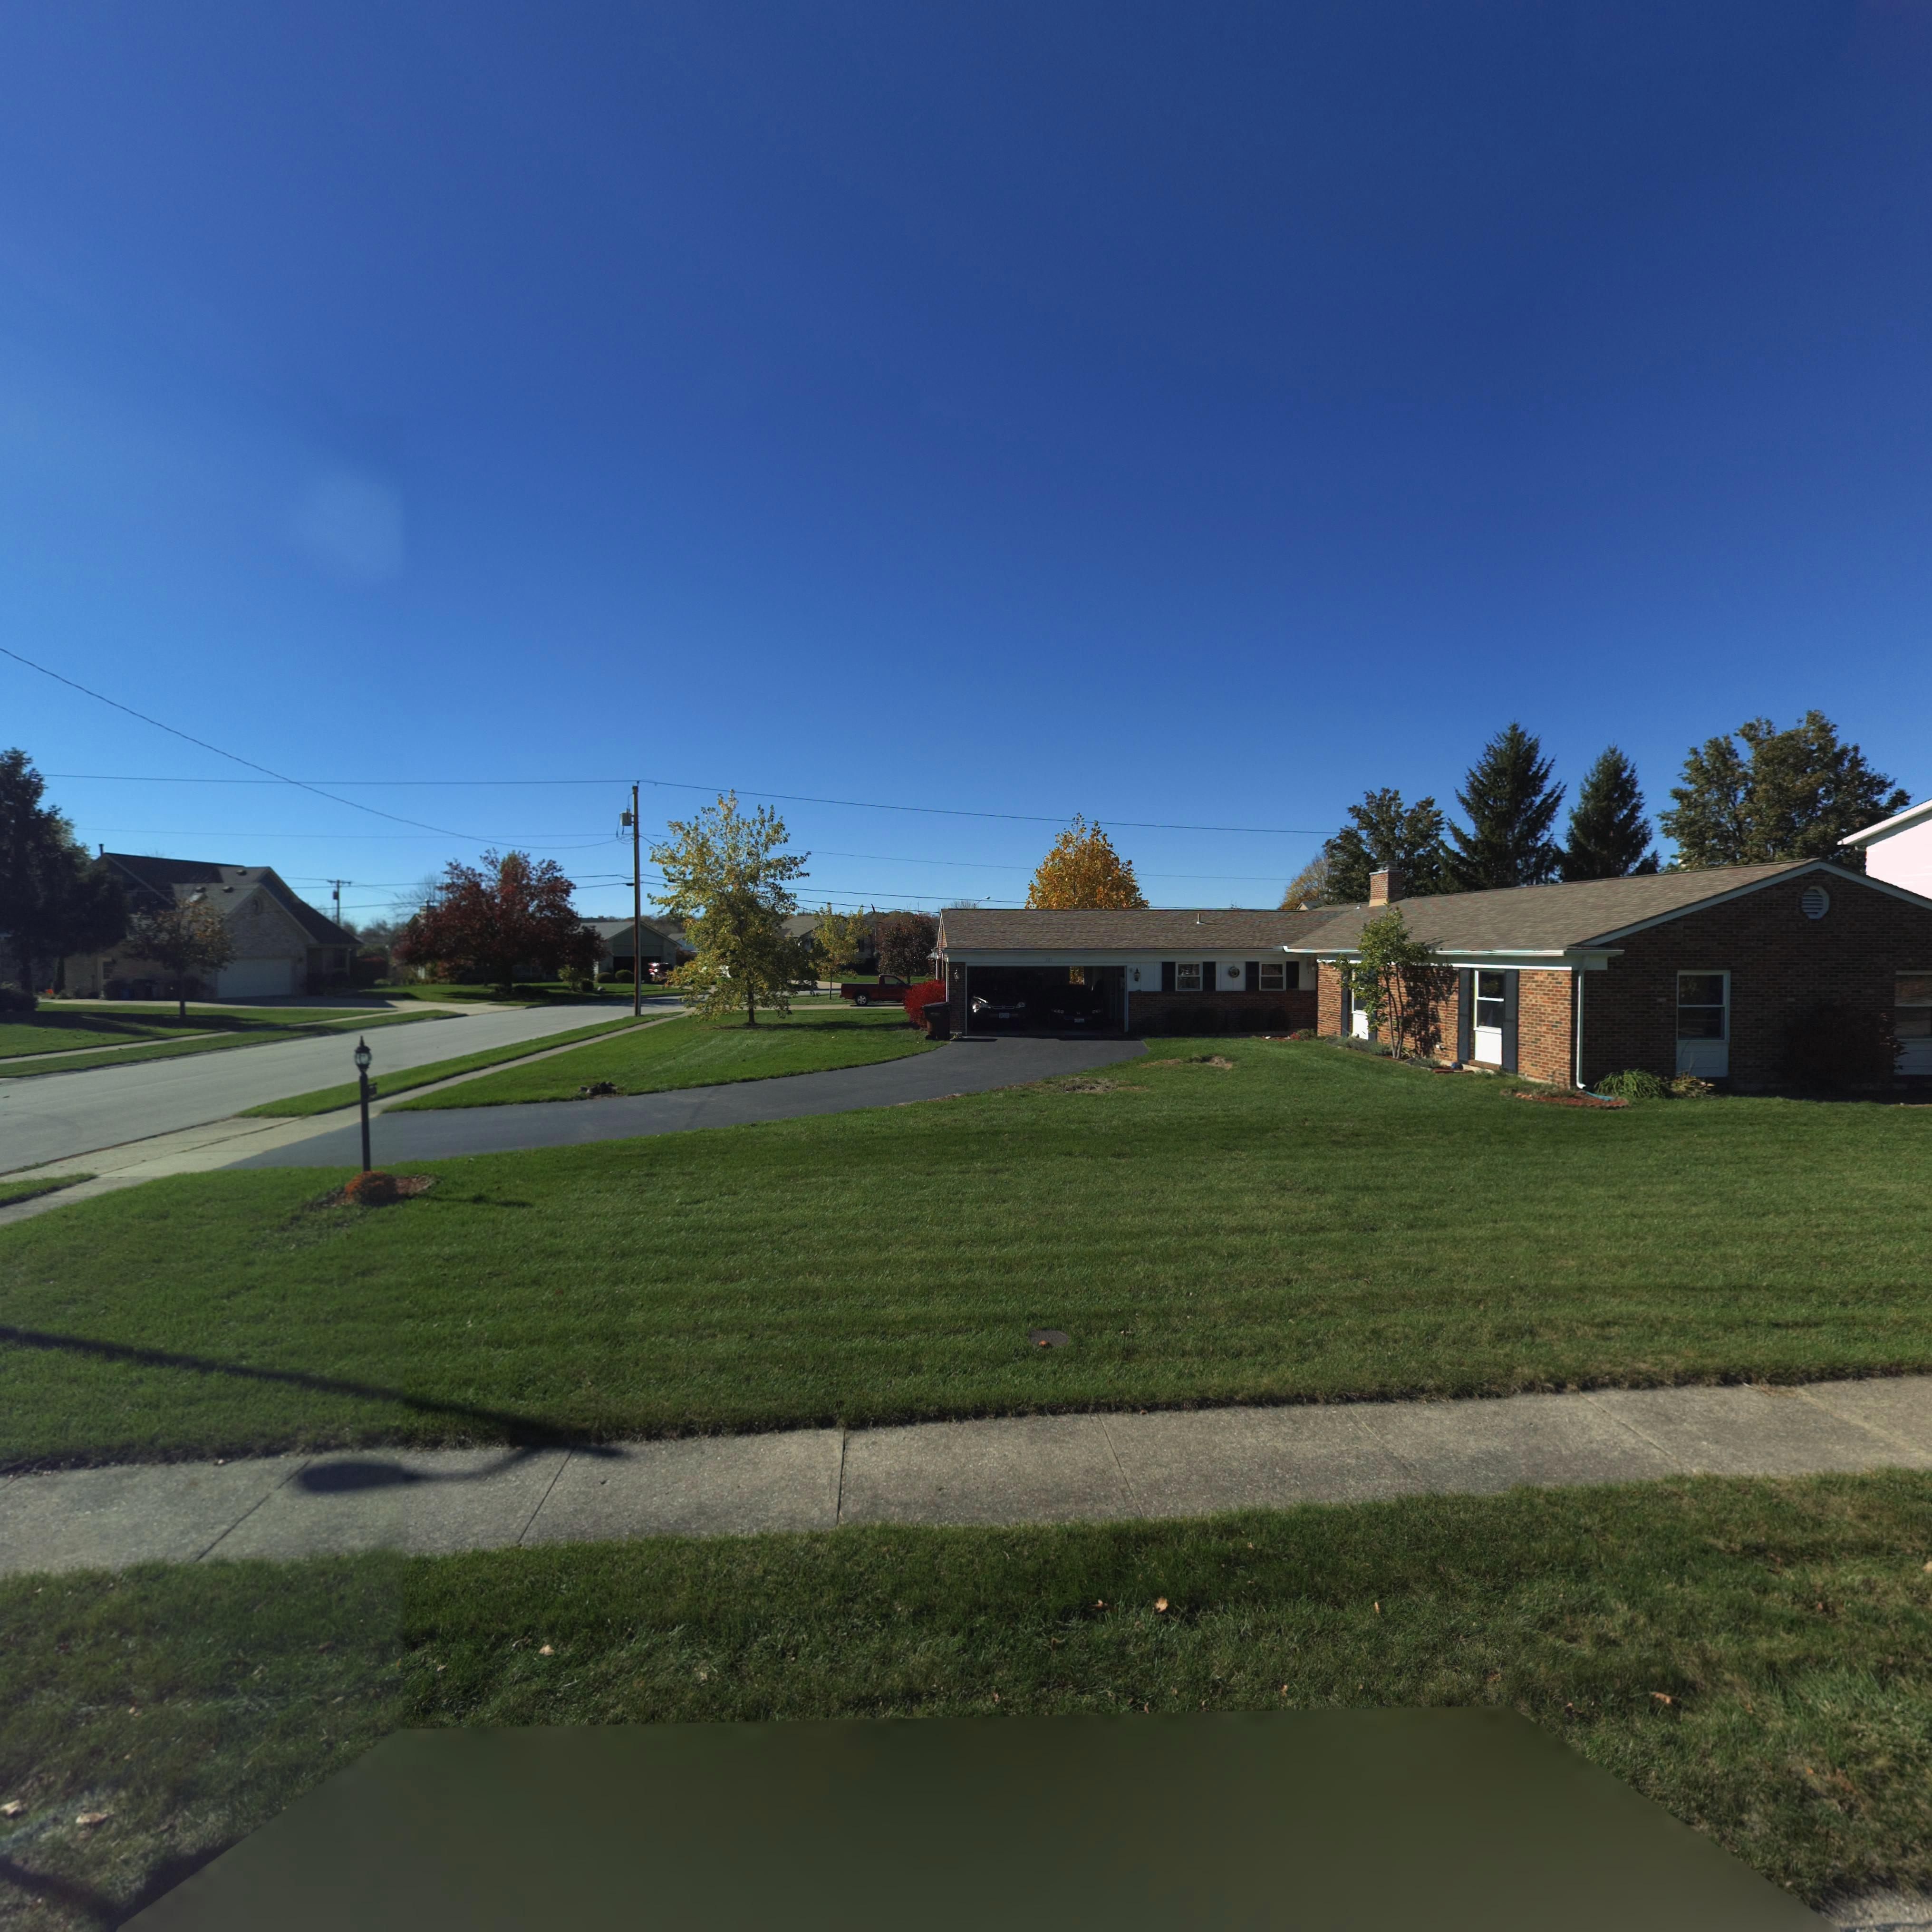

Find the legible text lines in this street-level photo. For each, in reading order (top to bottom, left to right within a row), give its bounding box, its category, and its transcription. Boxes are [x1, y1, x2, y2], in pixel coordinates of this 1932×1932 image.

[1045, 957, 1053, 963] StreetNumber: *21